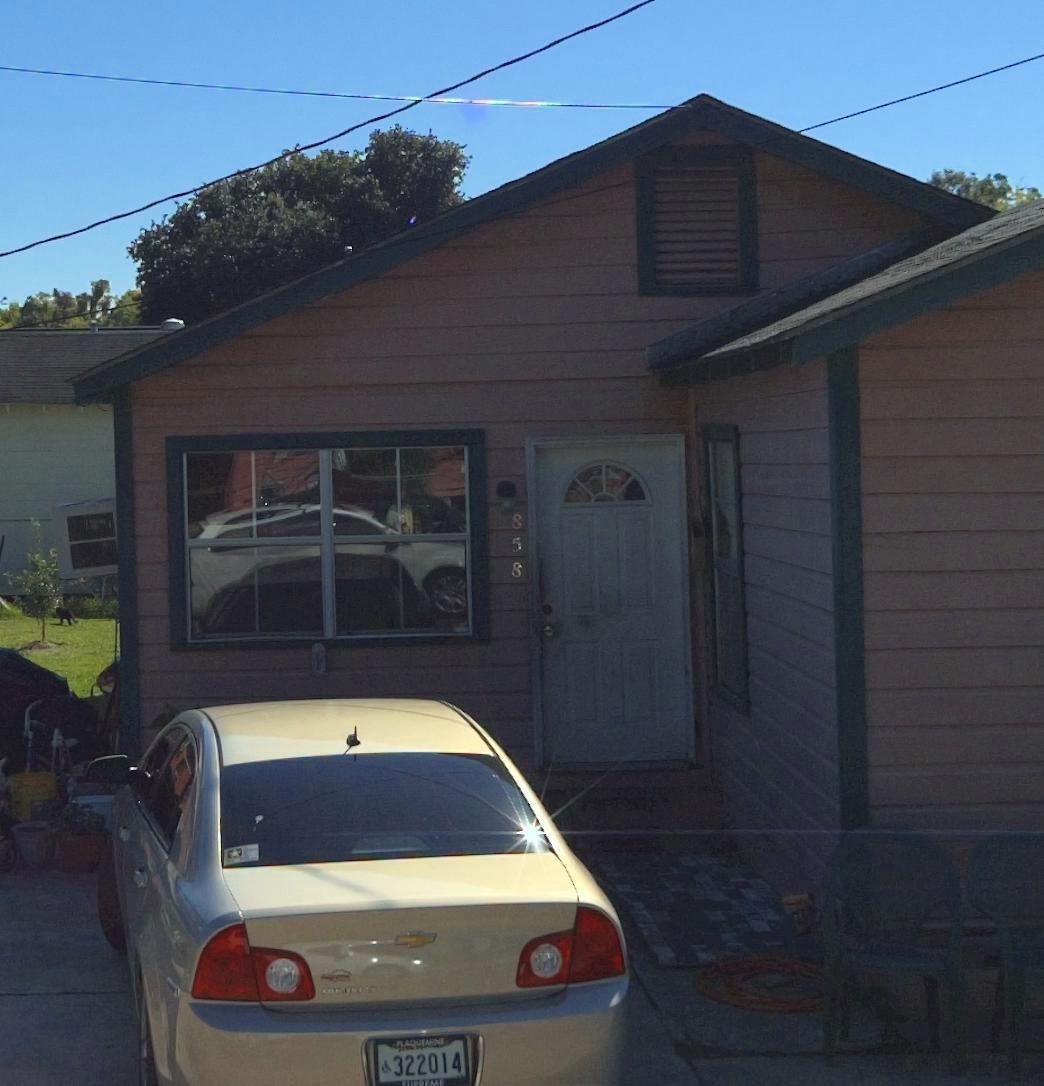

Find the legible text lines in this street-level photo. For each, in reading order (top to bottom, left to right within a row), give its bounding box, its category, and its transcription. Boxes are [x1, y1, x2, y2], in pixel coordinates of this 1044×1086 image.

[509, 511, 524, 579] StreetNumber: 858
[390, 1048, 464, 1079] None: 322014